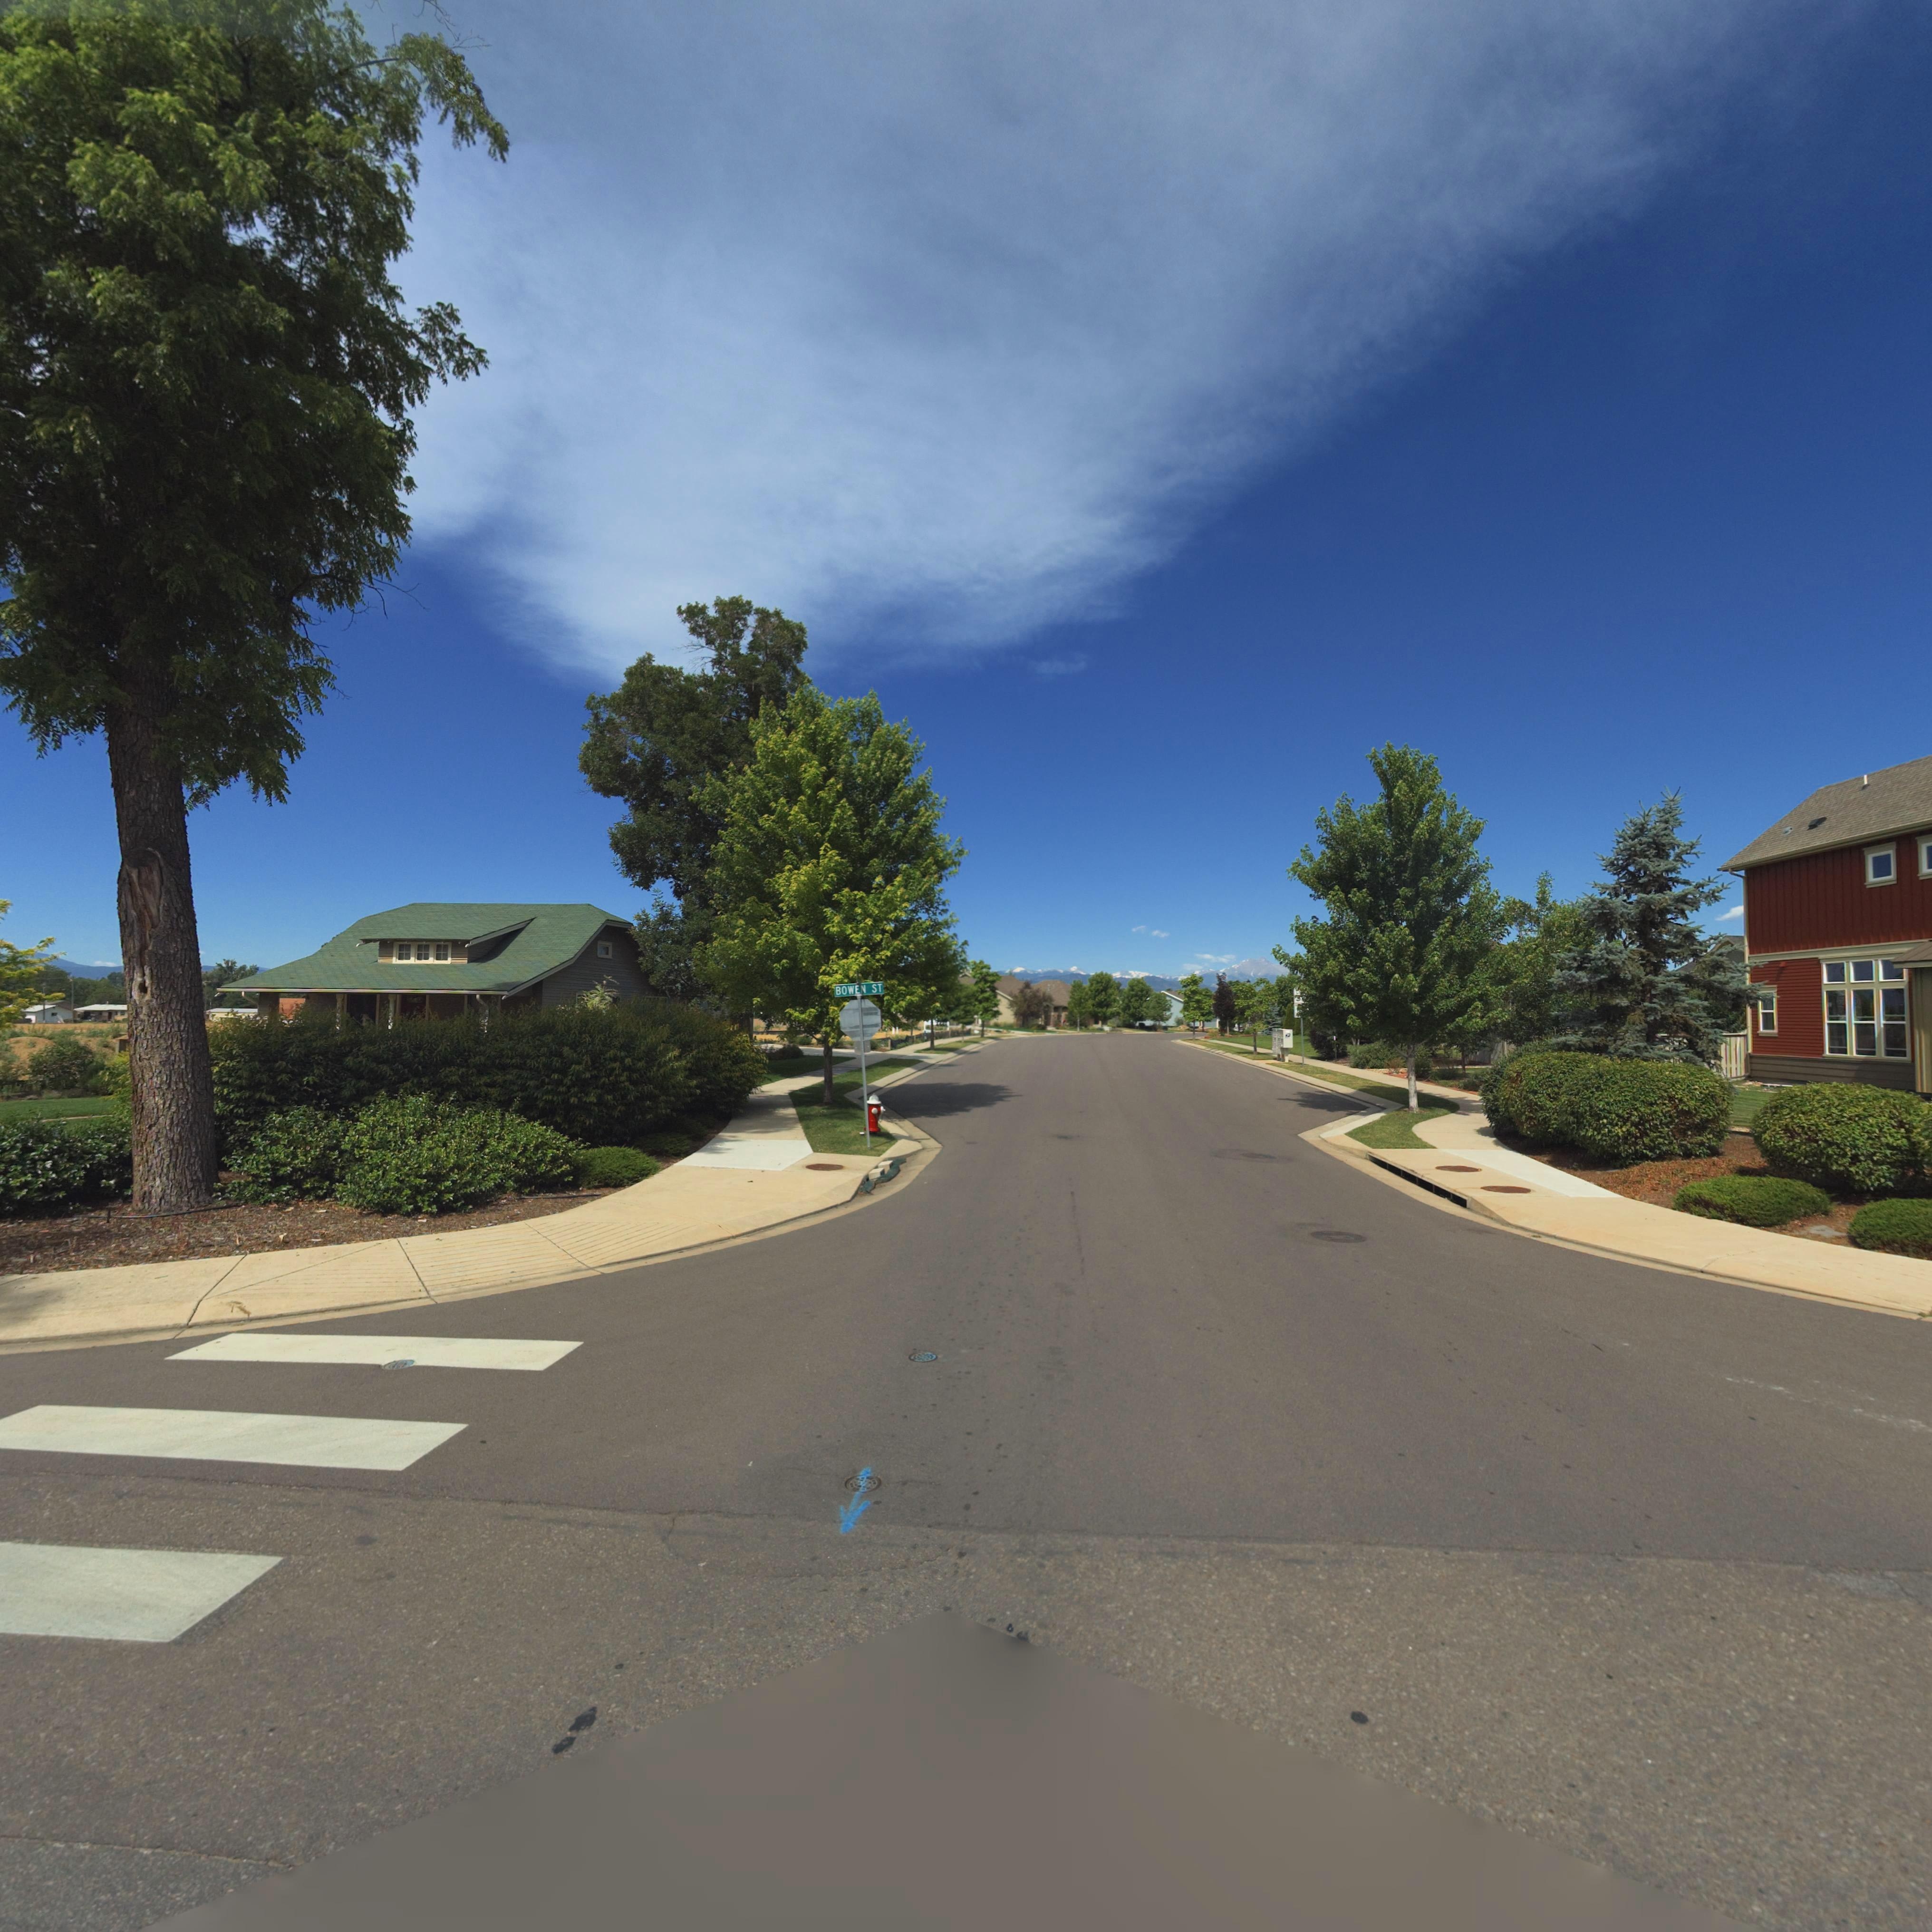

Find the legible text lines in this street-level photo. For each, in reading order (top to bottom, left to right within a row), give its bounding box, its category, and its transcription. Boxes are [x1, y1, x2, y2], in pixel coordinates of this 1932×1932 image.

[835, 983, 882, 995] StreetName: BOWEN ST